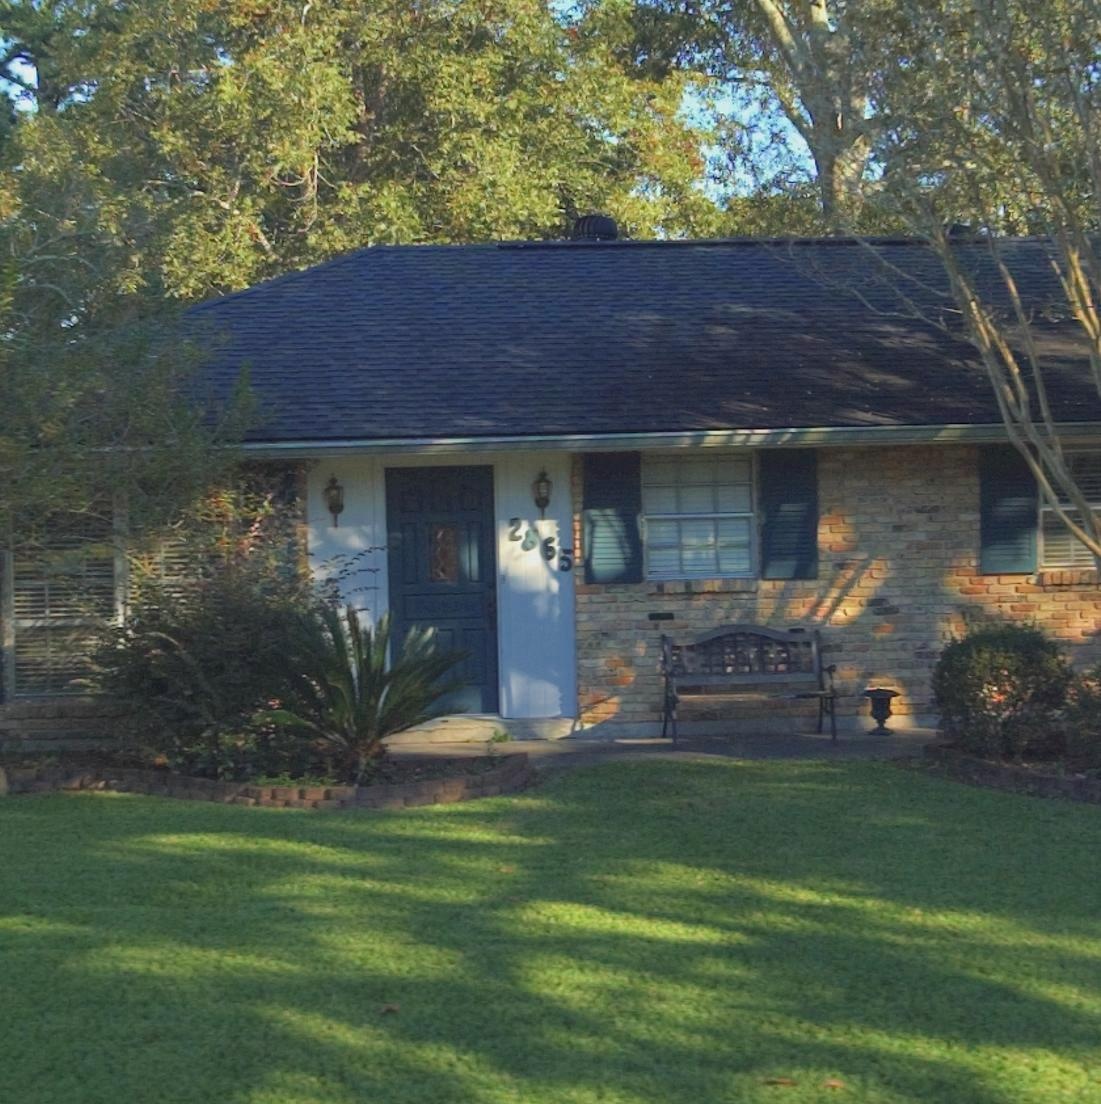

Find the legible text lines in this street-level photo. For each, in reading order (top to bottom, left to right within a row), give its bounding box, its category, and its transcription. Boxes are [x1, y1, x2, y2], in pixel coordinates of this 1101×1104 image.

[507, 514, 574, 573] StreetNumber: 2865